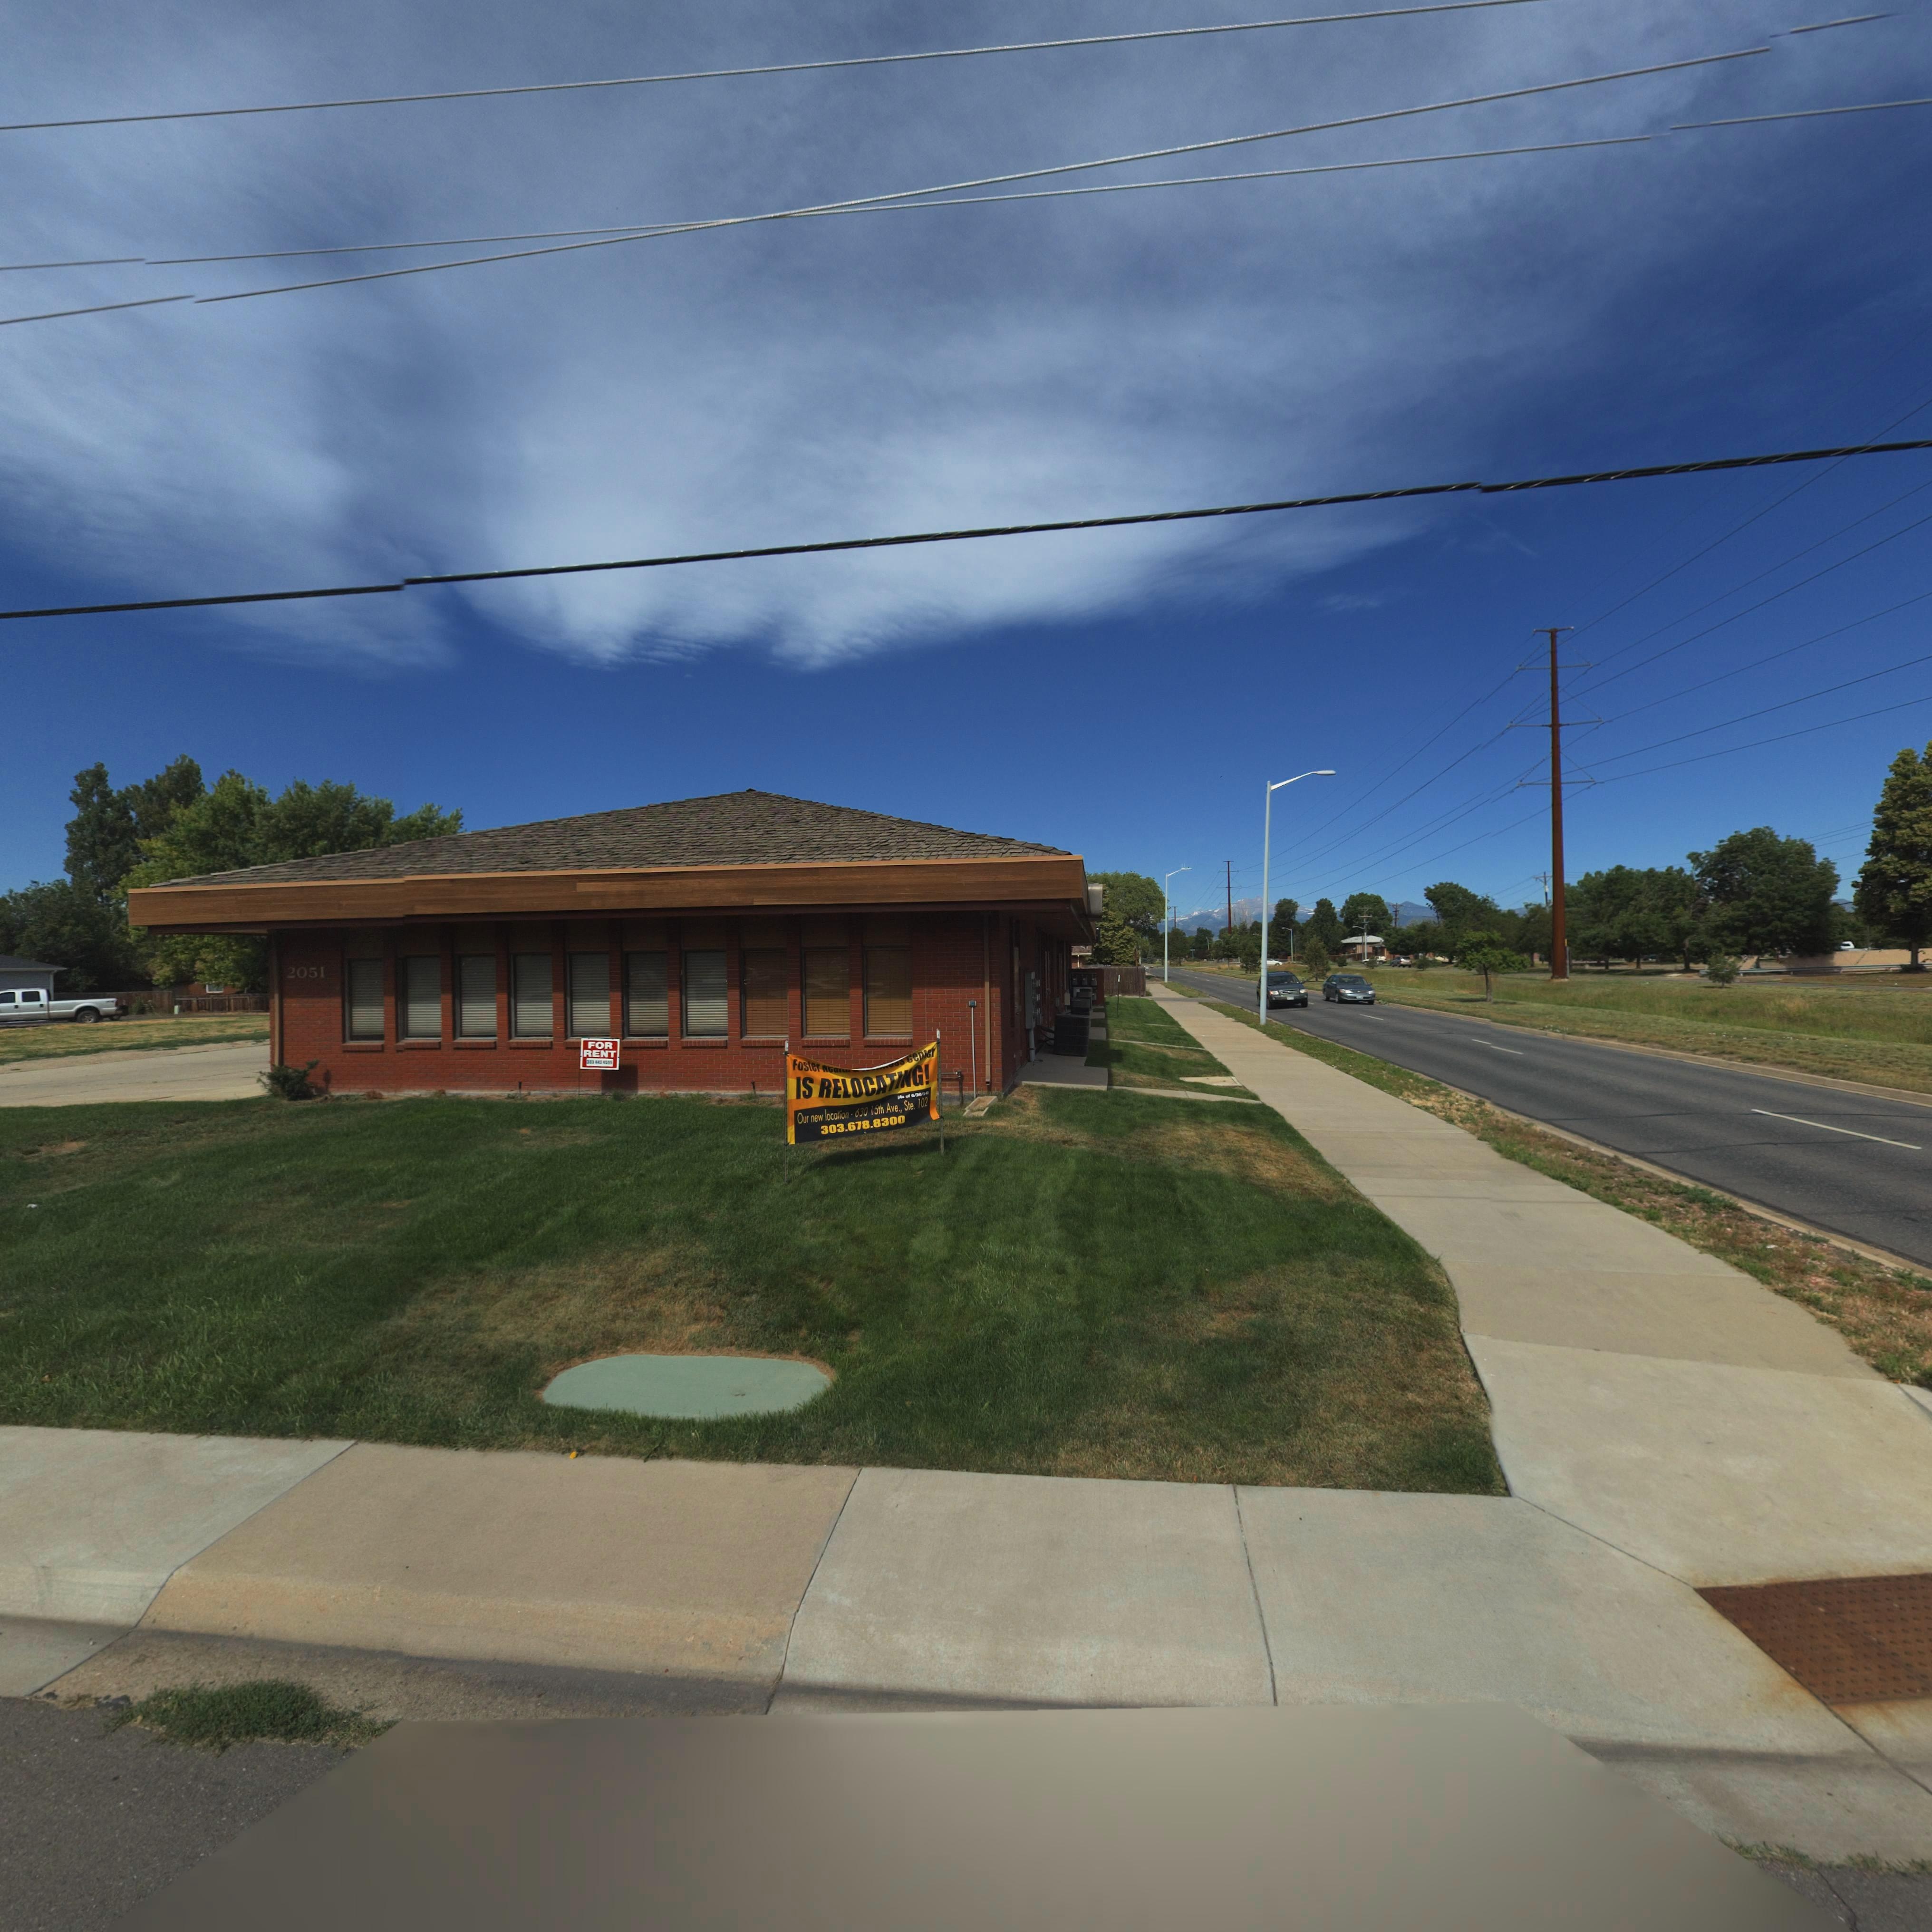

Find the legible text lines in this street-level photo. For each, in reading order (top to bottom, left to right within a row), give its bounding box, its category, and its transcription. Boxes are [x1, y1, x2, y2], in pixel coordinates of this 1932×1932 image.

[286, 966, 325, 979] StreetNumber: 2051